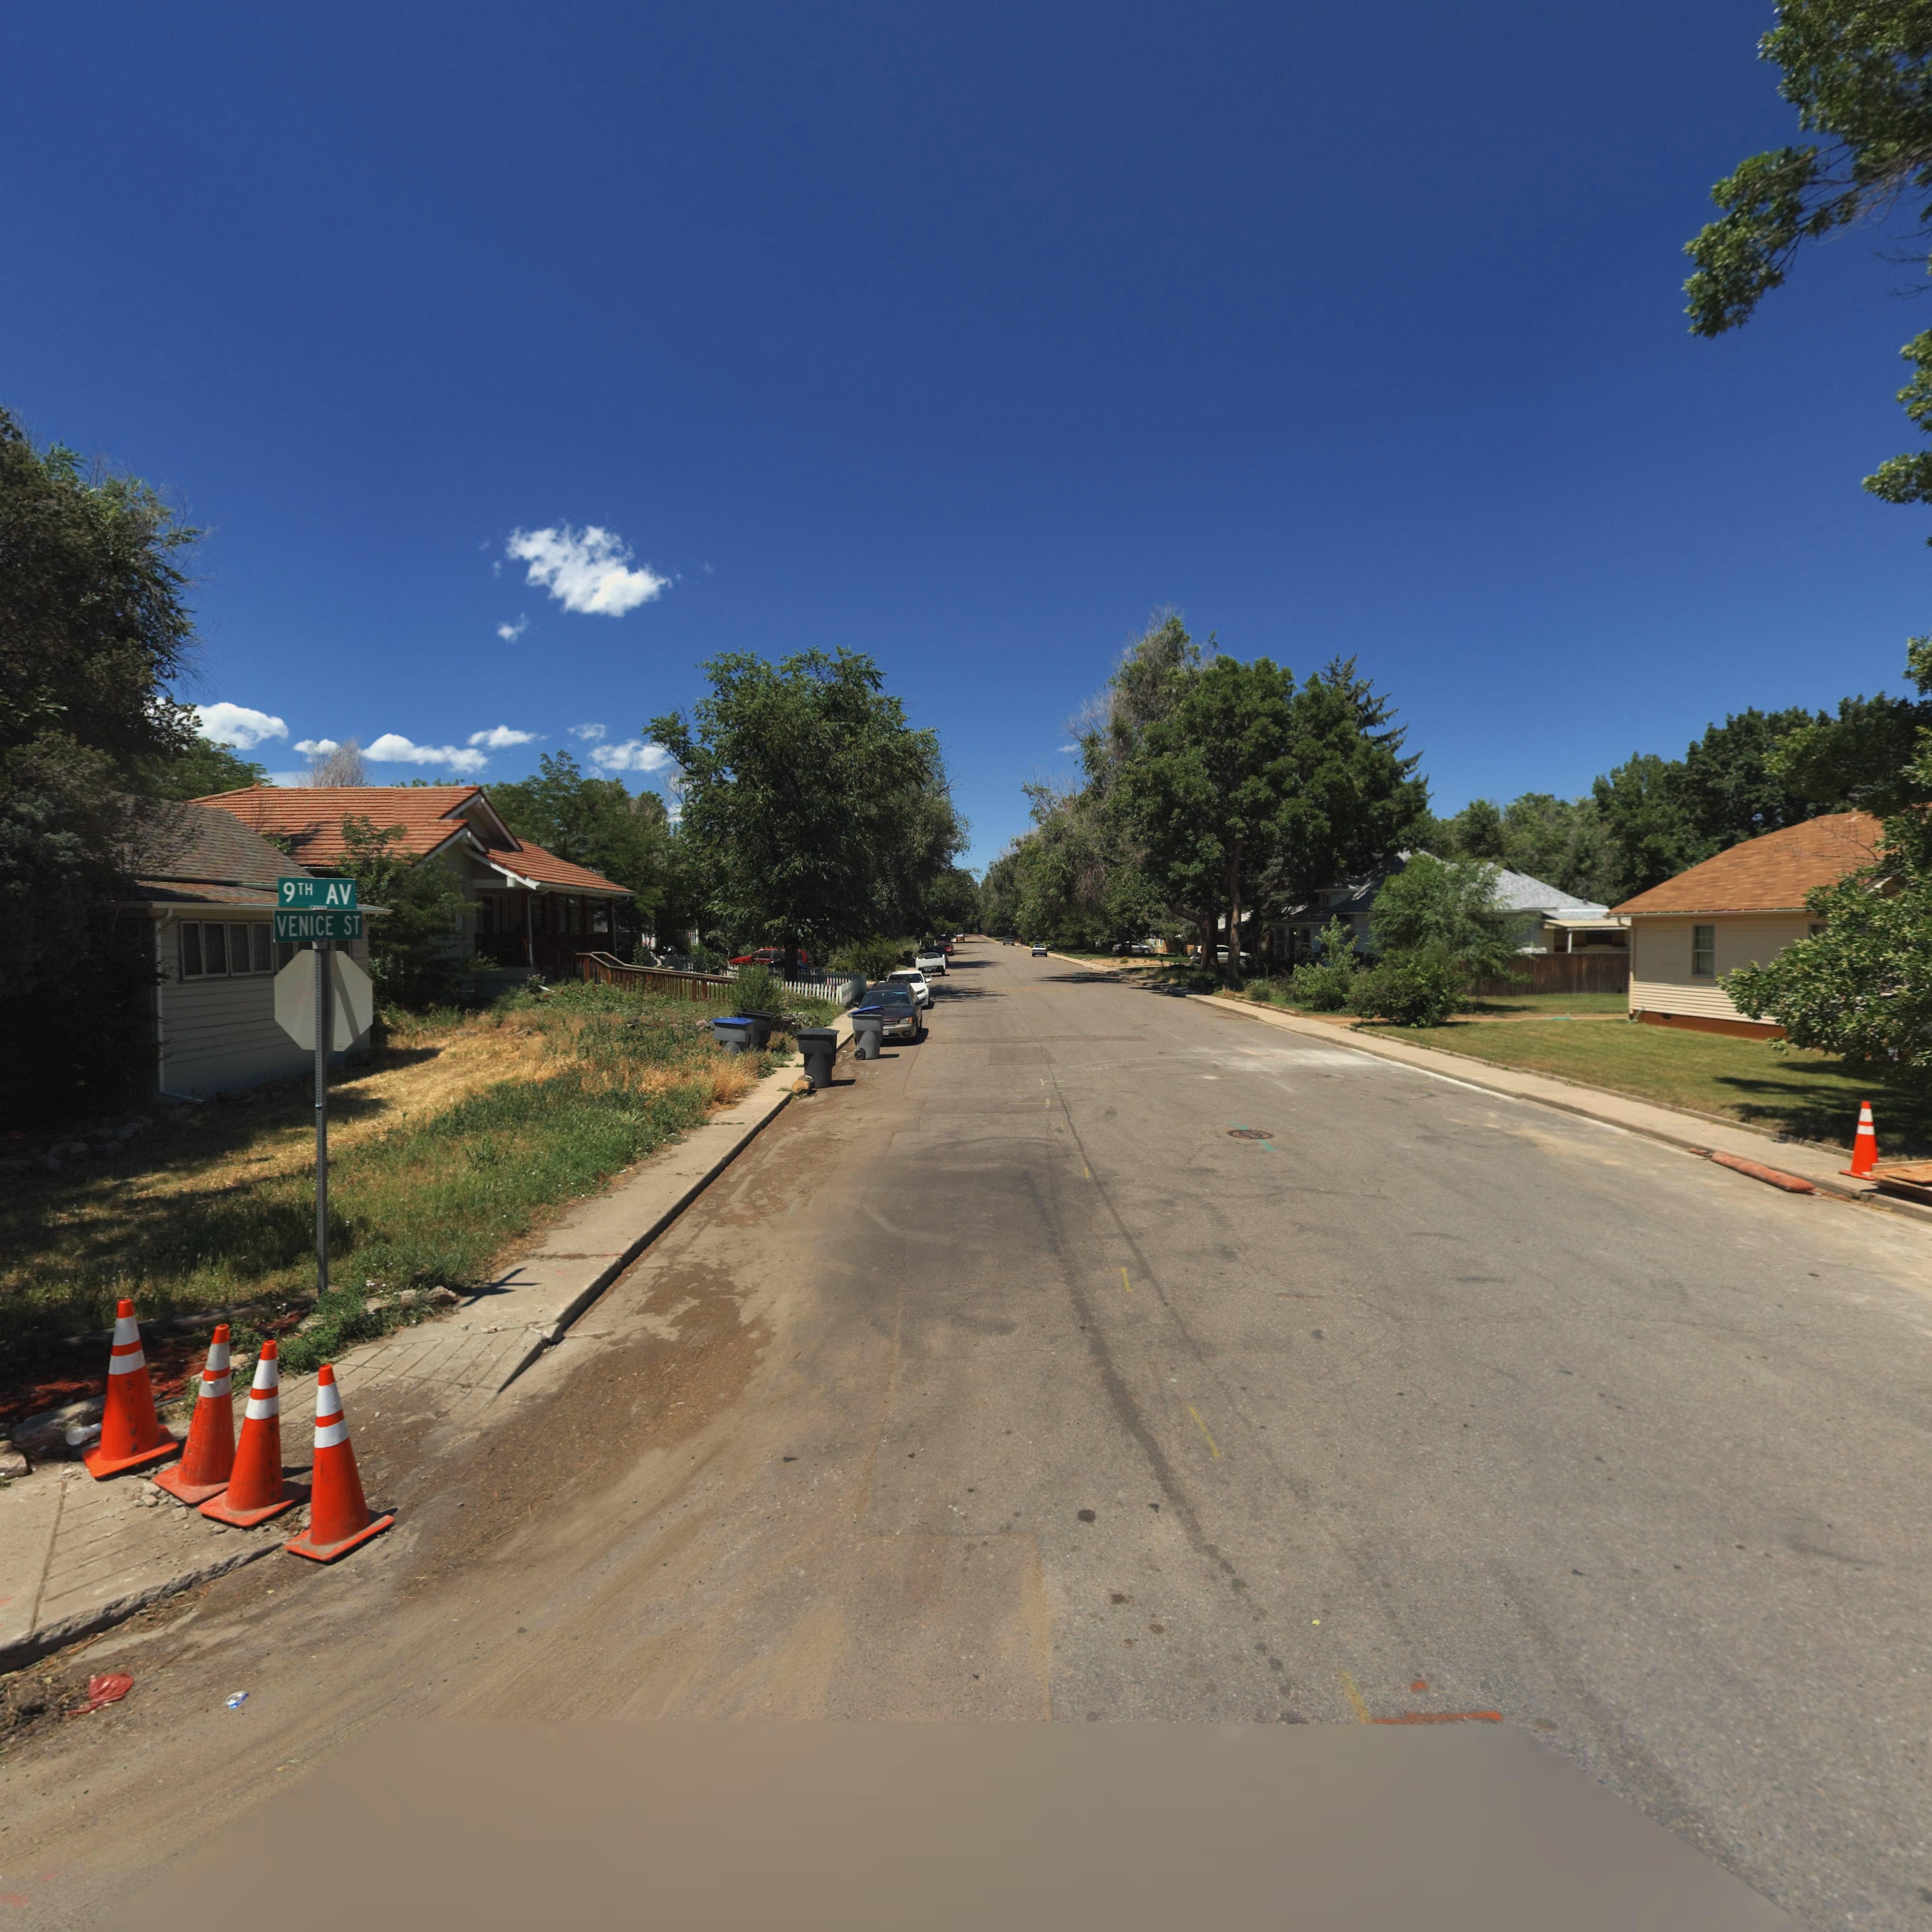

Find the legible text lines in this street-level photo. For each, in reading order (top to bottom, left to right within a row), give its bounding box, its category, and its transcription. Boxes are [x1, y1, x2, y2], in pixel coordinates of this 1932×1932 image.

[282, 881, 351, 905] StreetName: 9TH AV
[275, 915, 360, 937] StreetName: VENICE ST